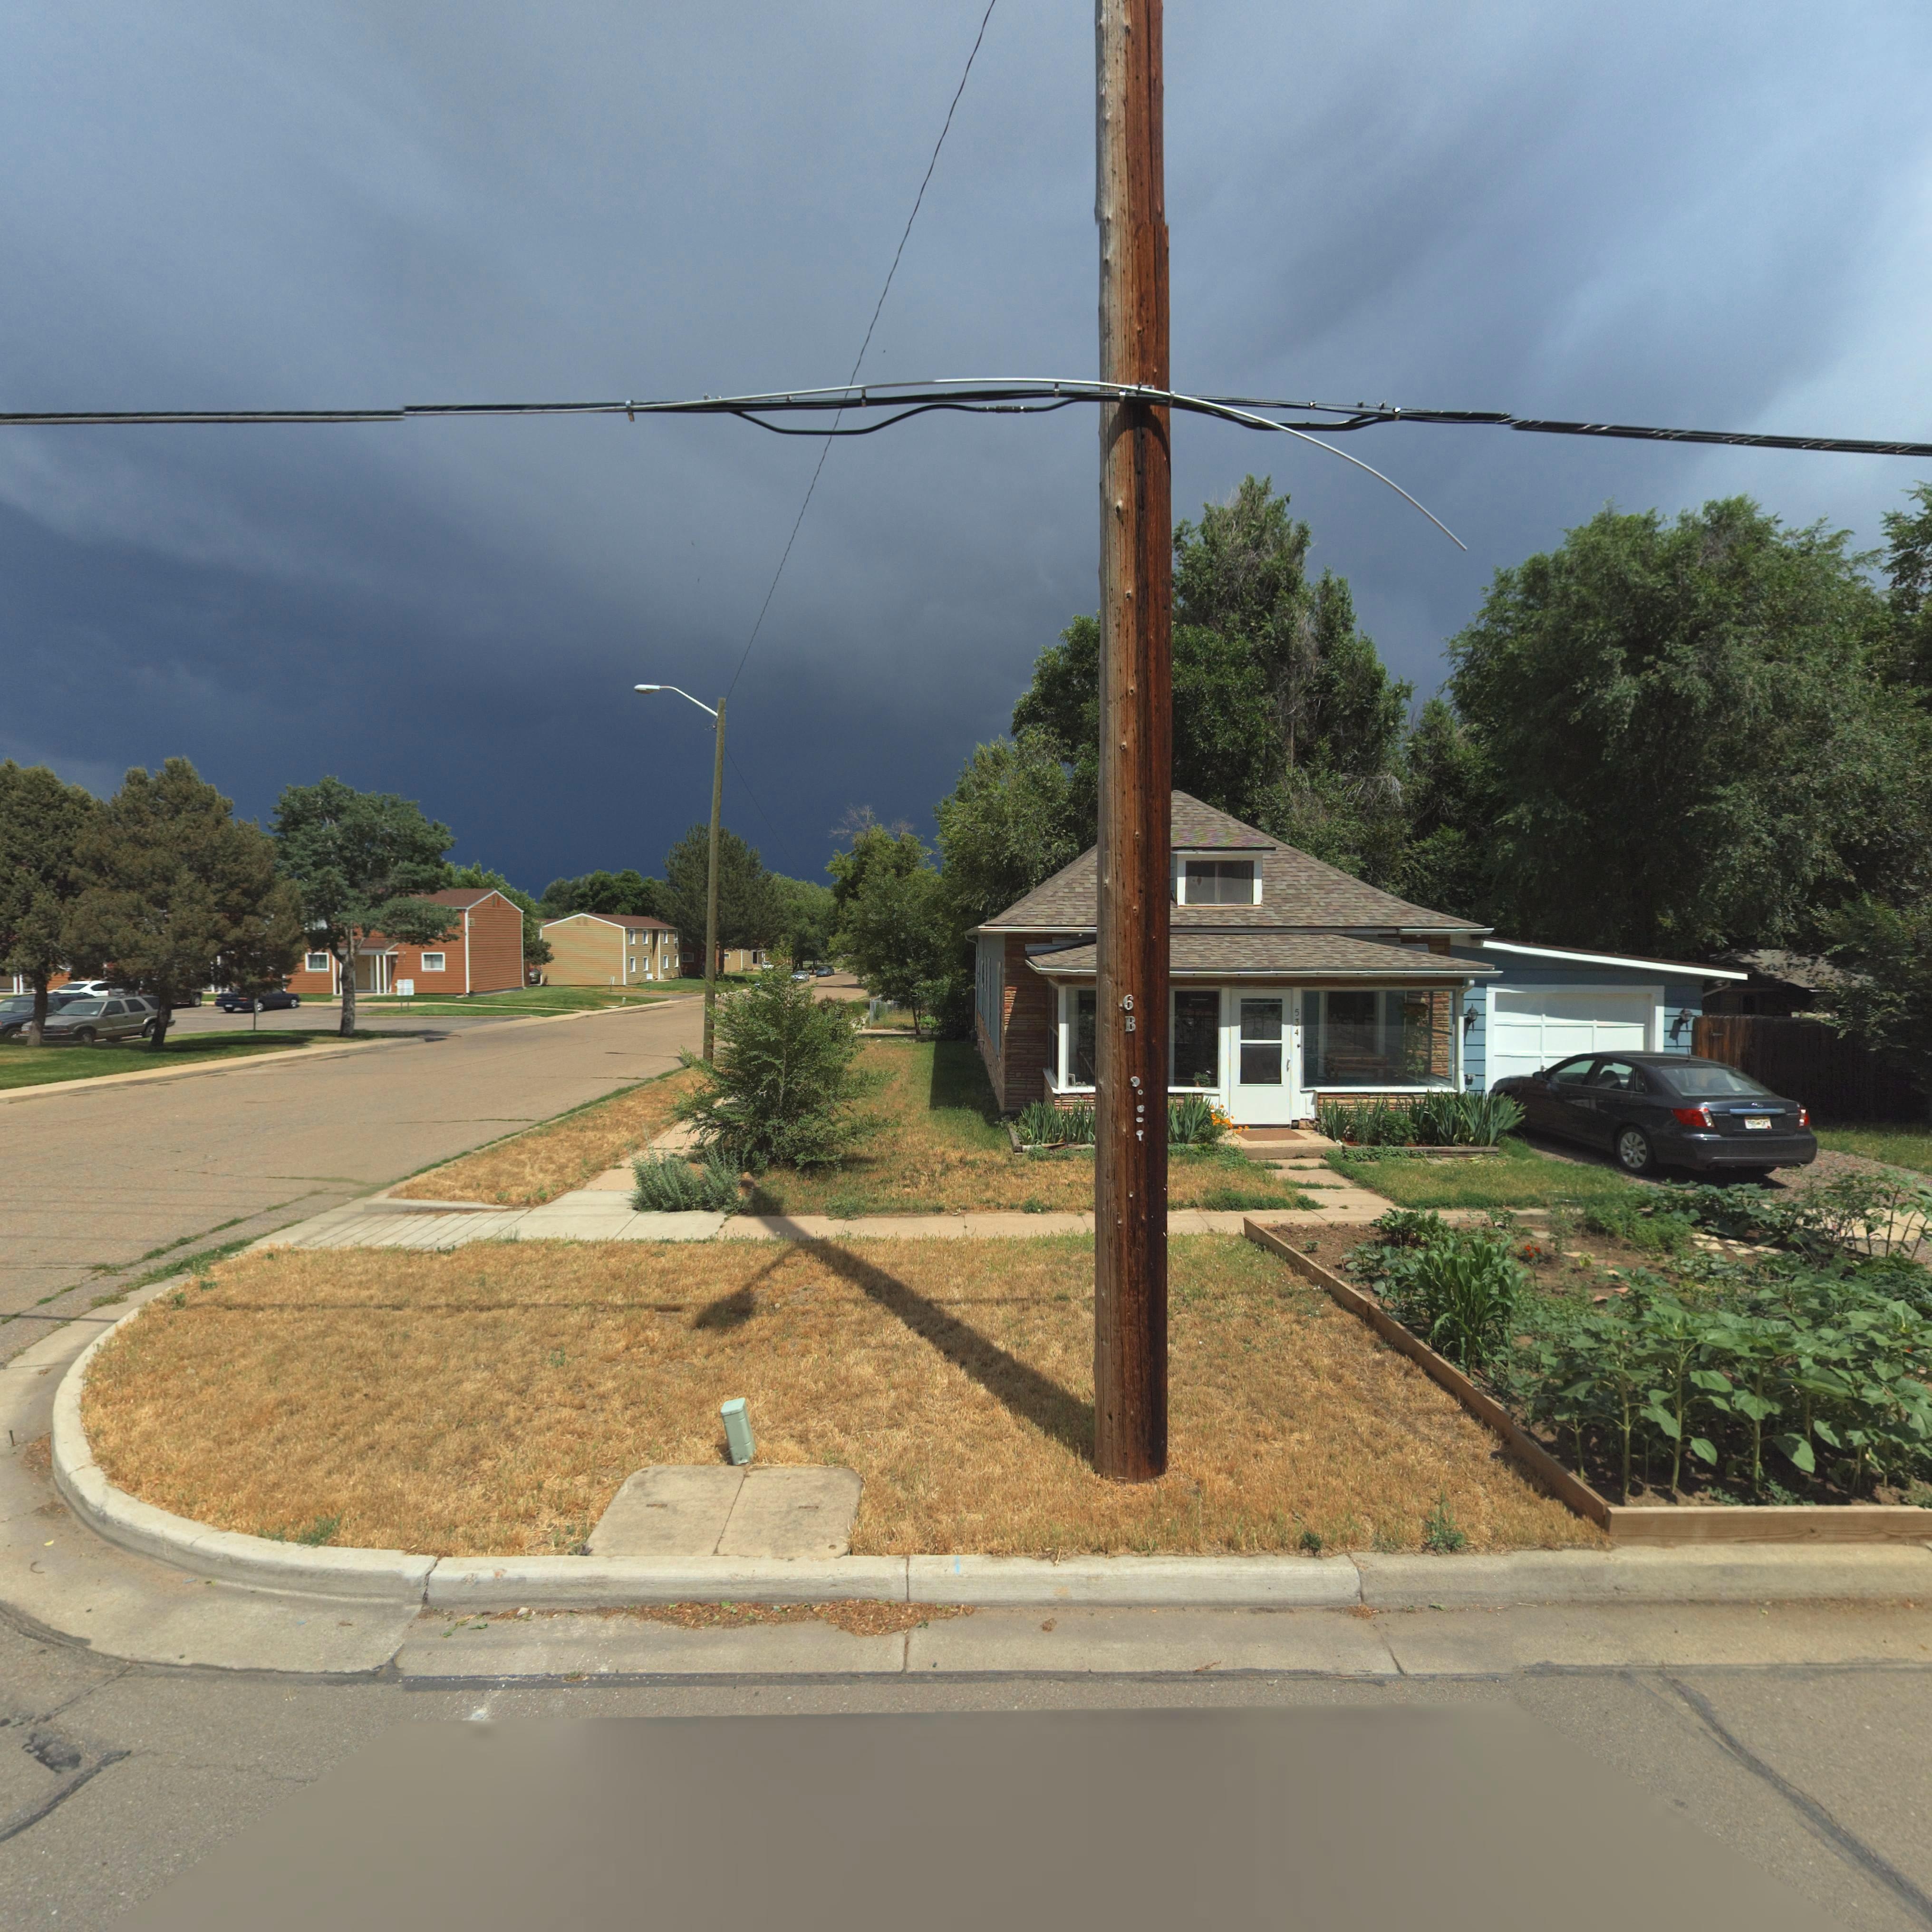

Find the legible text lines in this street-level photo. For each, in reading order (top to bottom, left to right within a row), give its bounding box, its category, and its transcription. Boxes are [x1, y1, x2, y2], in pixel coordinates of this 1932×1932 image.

[1294, 1008, 1300, 1036] StreetNumber: 534